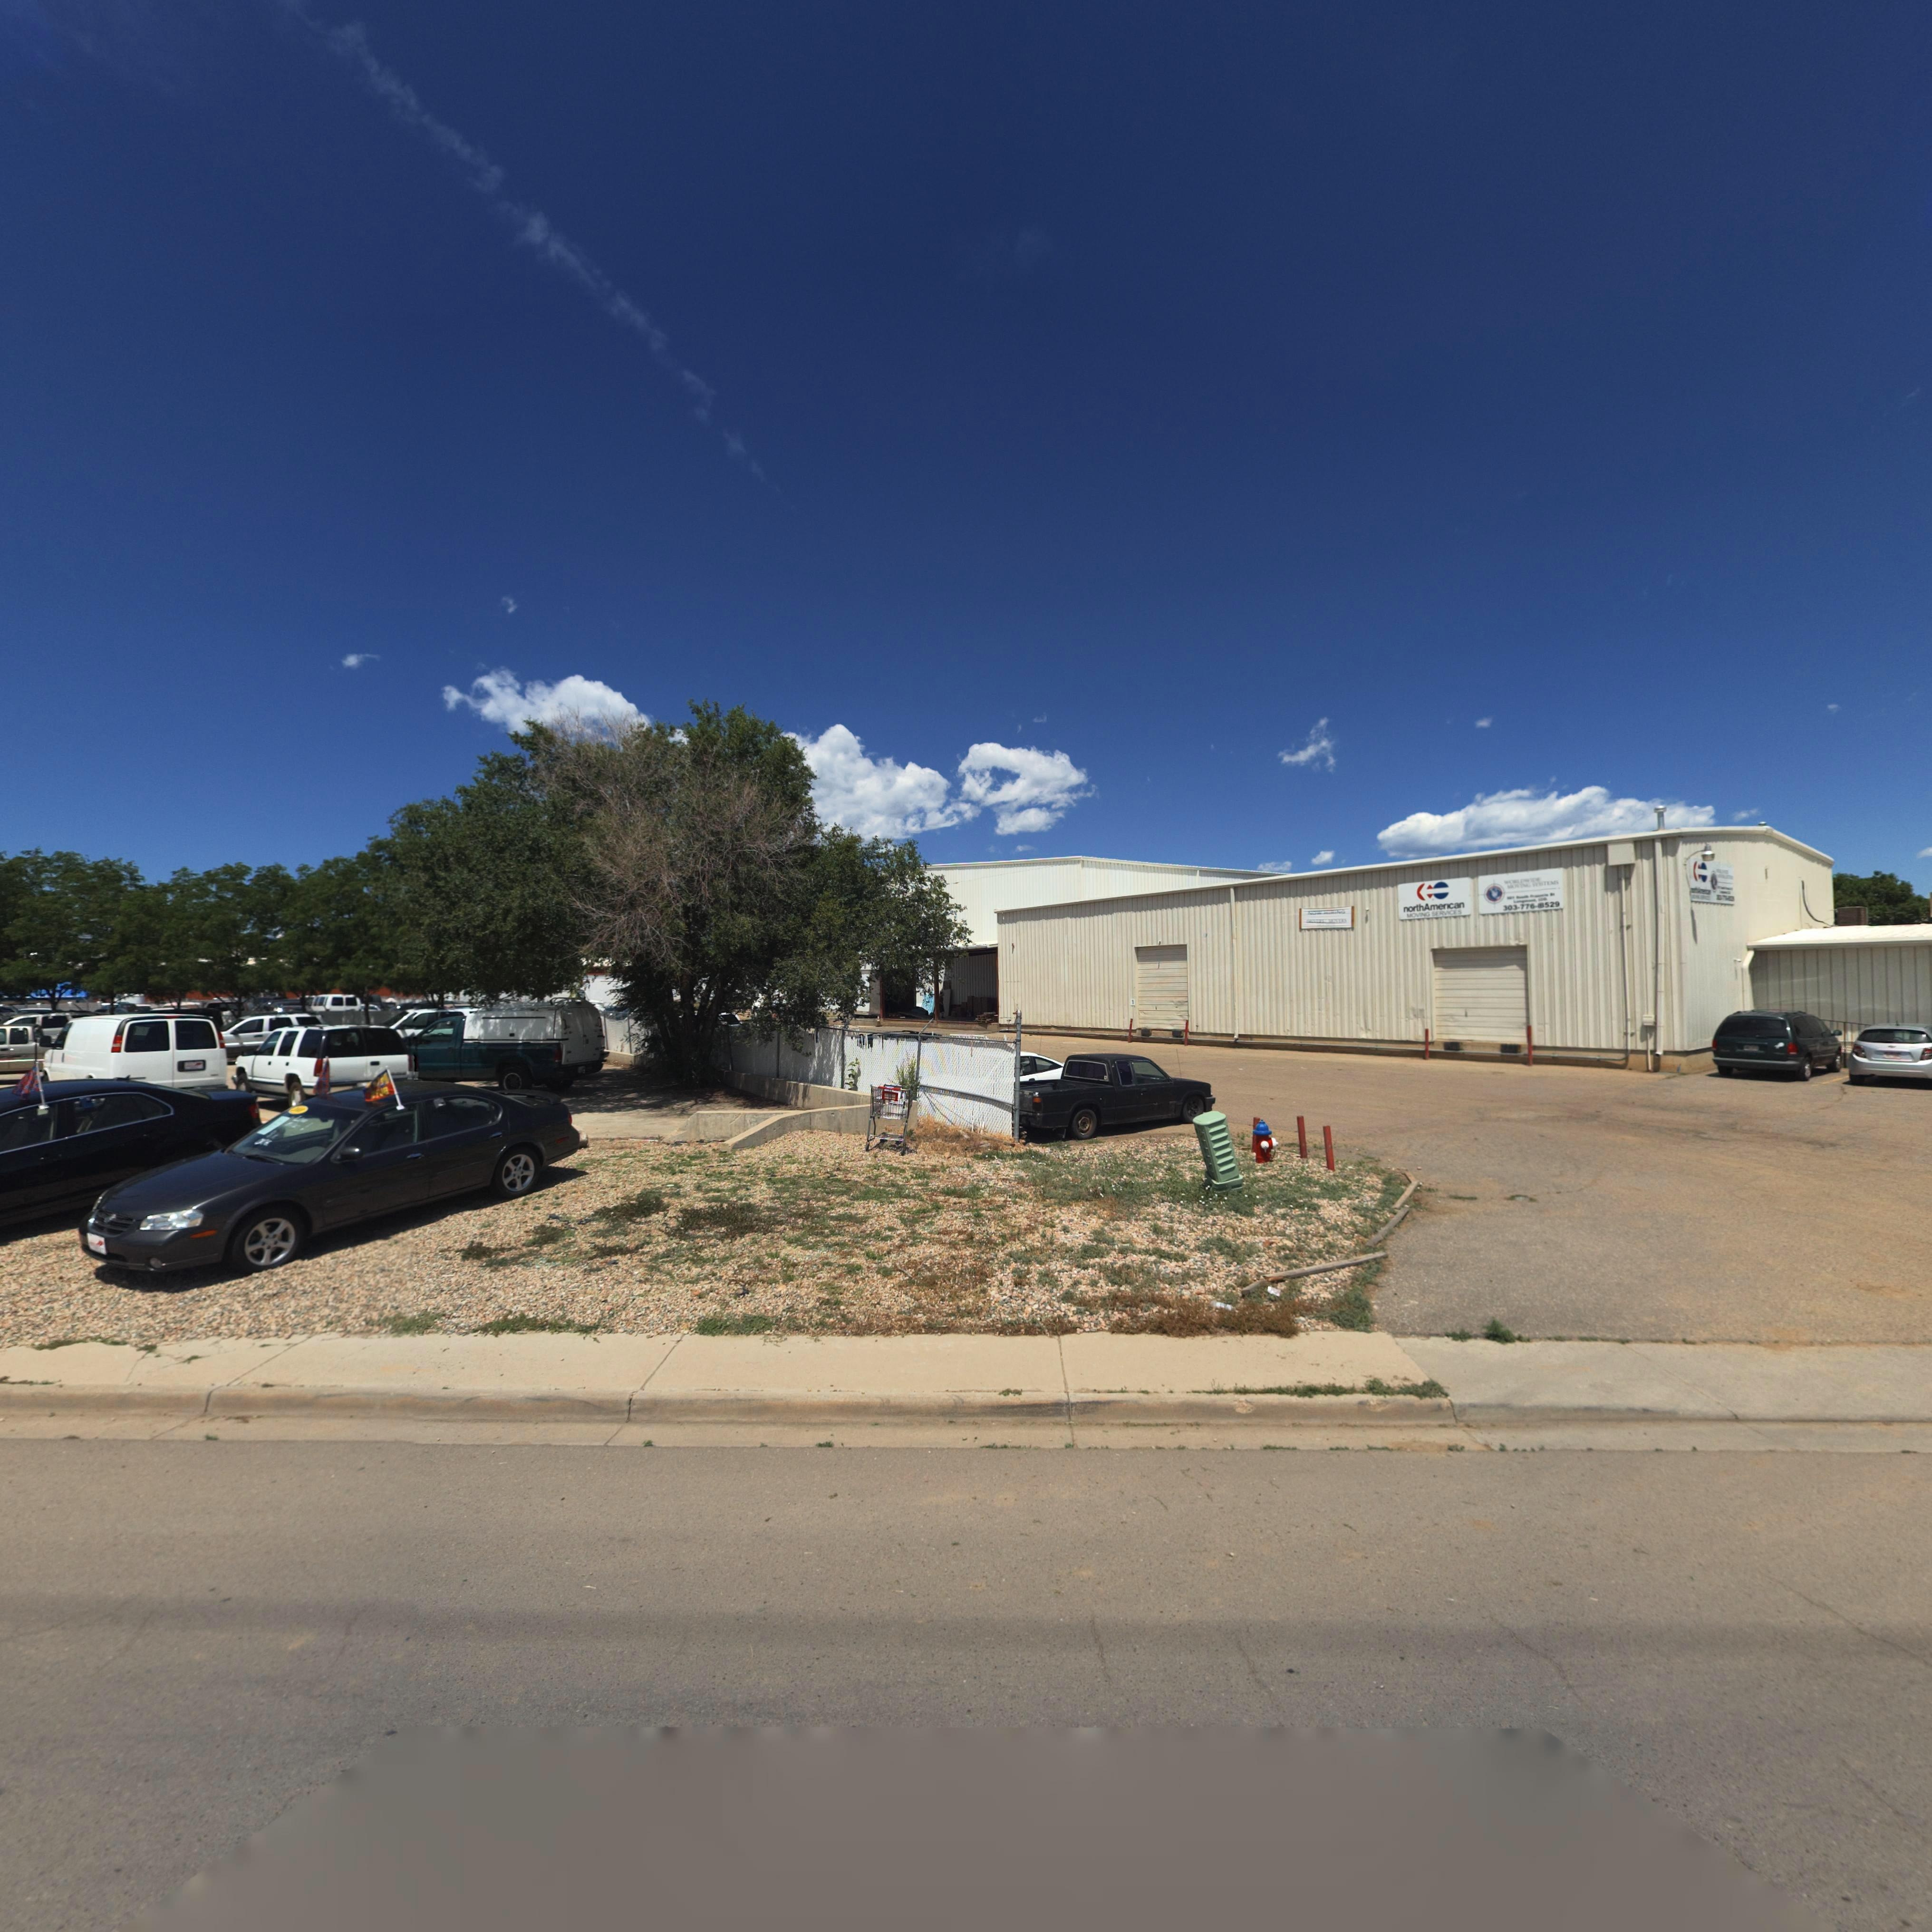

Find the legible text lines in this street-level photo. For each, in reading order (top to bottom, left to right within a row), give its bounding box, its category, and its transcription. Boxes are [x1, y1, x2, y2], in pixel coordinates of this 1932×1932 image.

[1532, 879, 1559, 887] BusinessName: ***TEMS
[1403, 901, 1465, 913] BusinessName: northAmerican
[1406, 908, 1462, 918] BusinessName: MOVING SERVICES